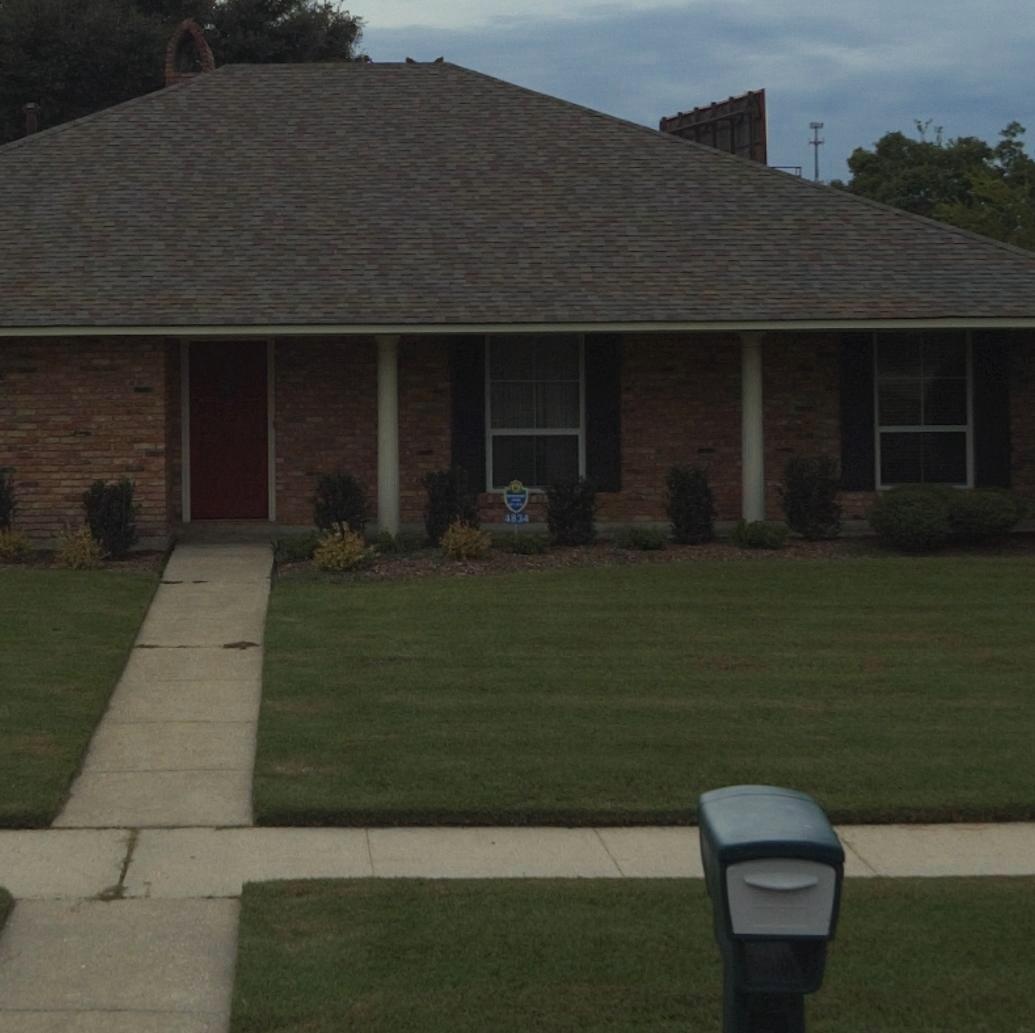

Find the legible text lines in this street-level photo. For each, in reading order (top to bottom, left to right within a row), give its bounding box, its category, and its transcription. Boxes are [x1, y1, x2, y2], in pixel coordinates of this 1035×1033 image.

[504, 513, 530, 523] StreetNumber: 4834